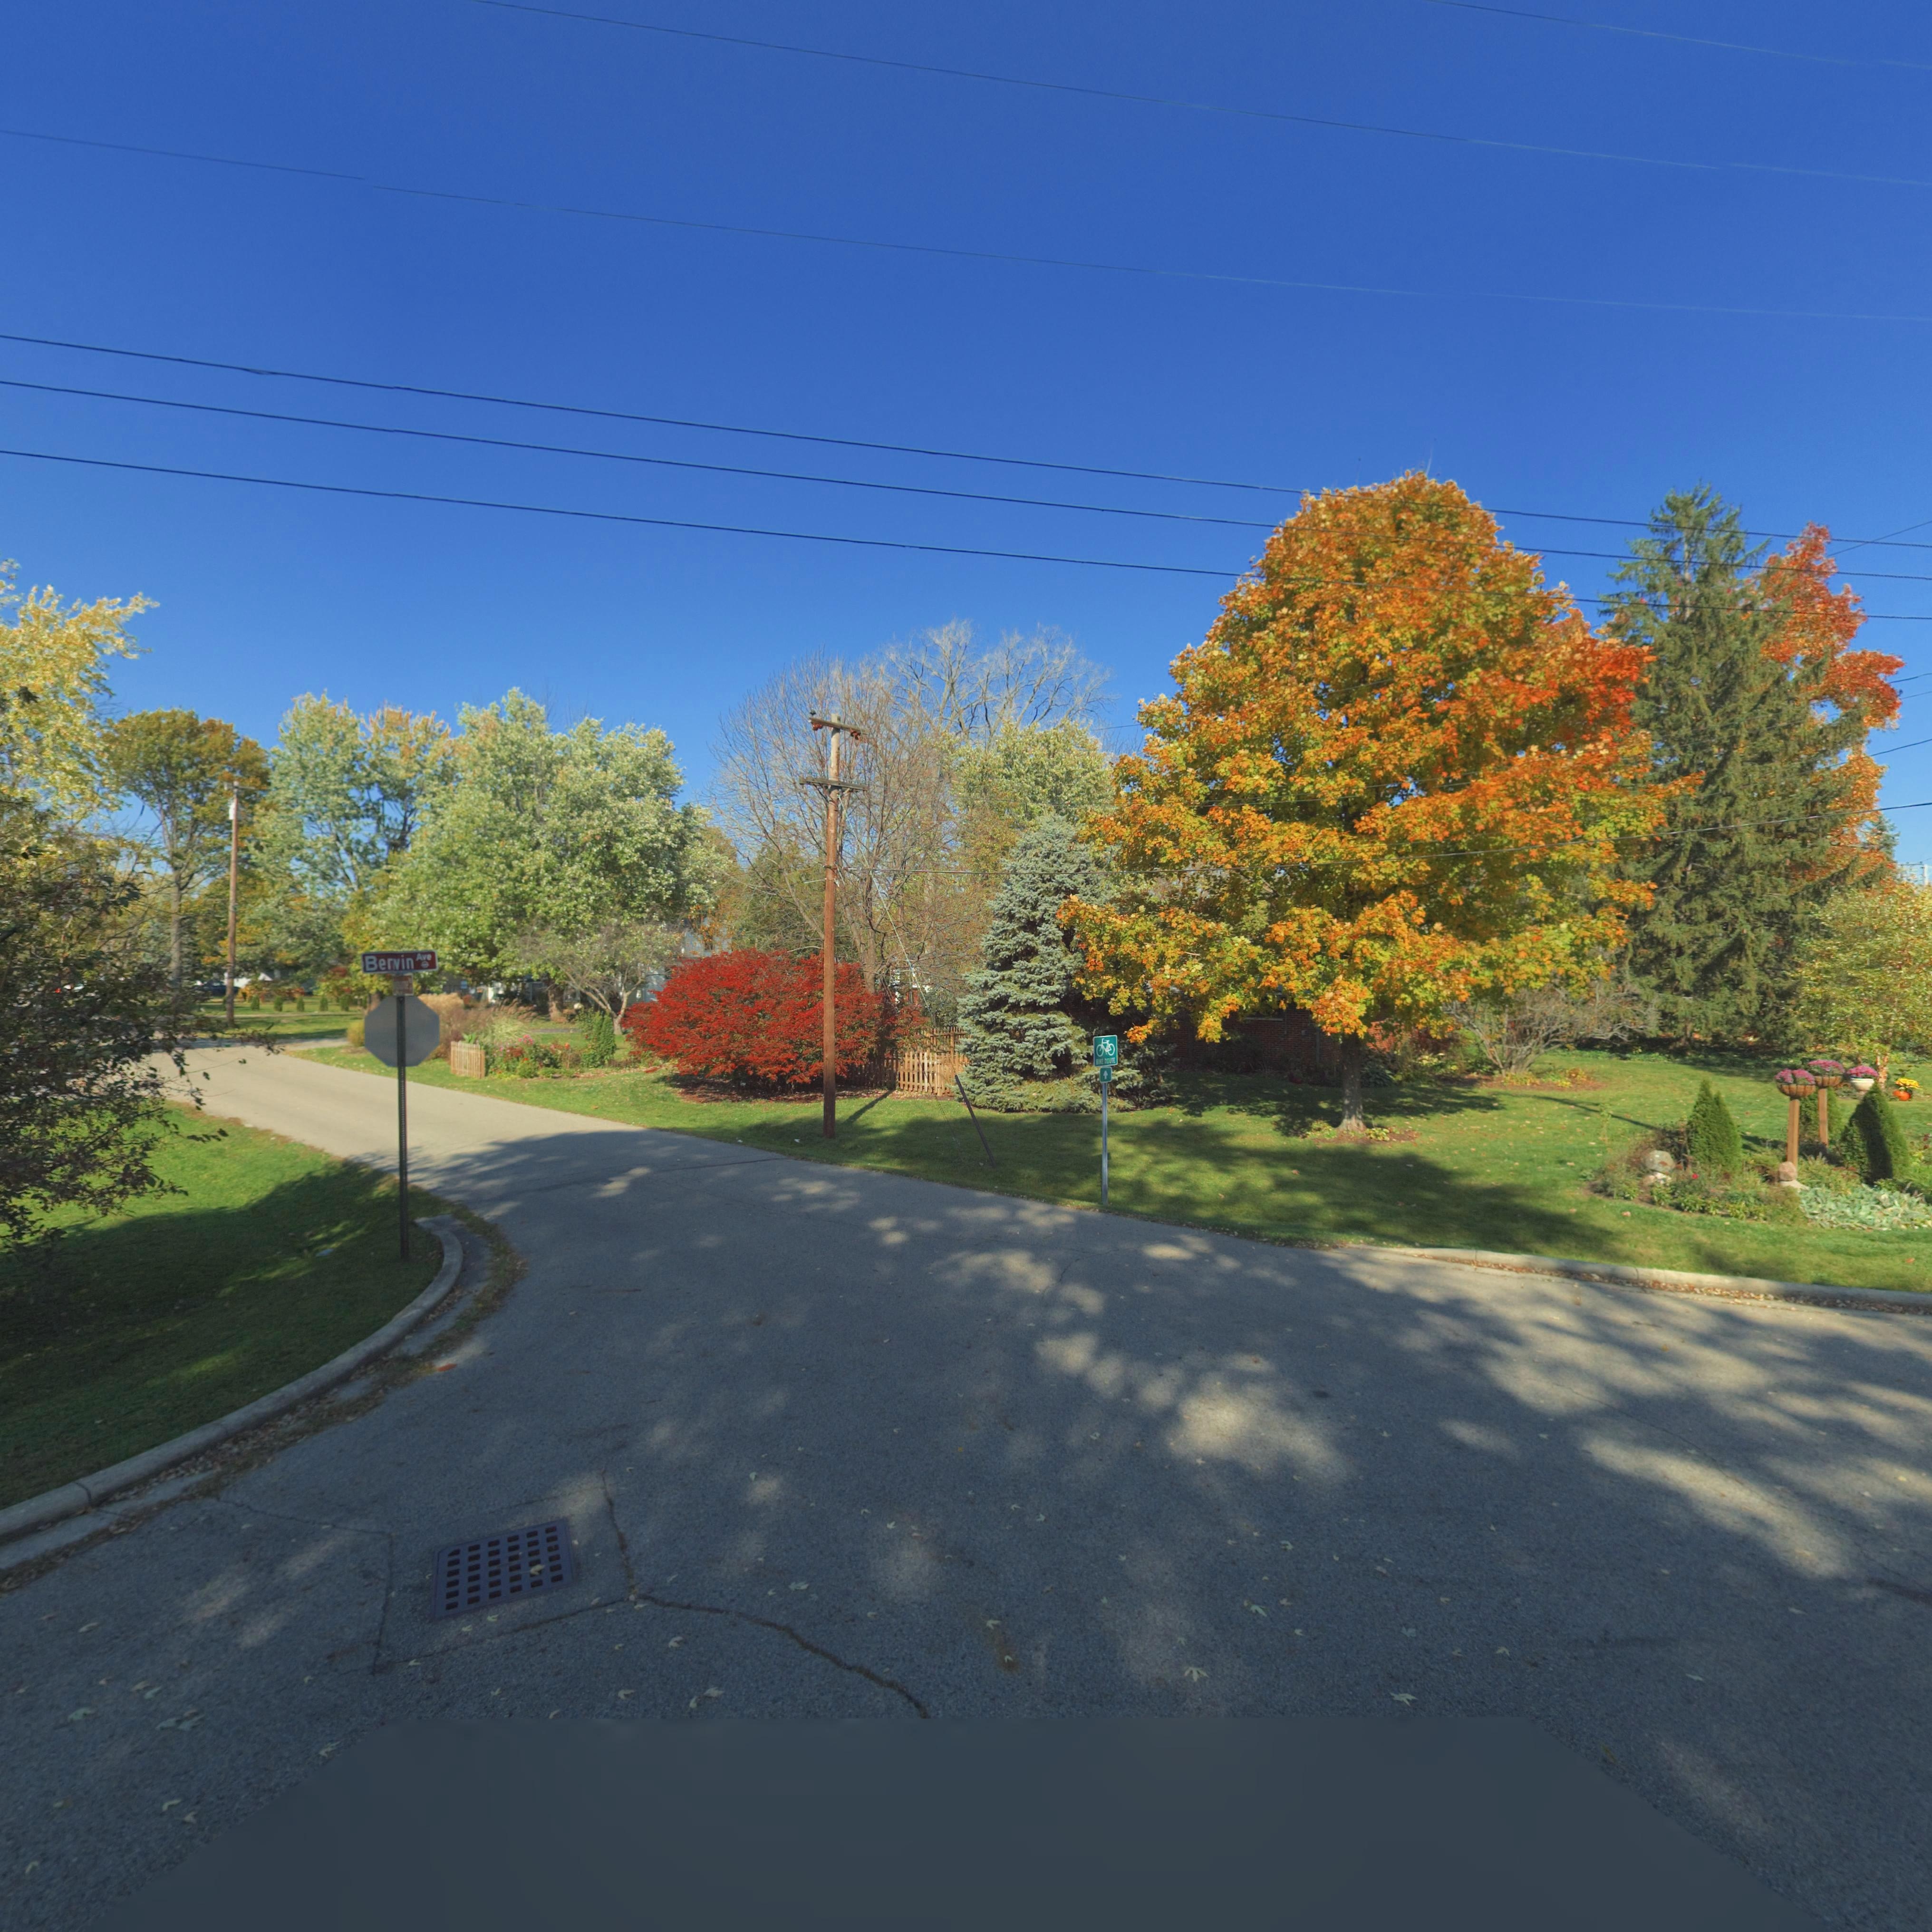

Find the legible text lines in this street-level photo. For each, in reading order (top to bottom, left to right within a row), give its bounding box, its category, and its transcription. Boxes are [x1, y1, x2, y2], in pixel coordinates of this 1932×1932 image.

[363, 951, 434, 973] StreetName: Ber*in Ave
[1095, 1056, 1117, 1066] None: B**E ROUTE